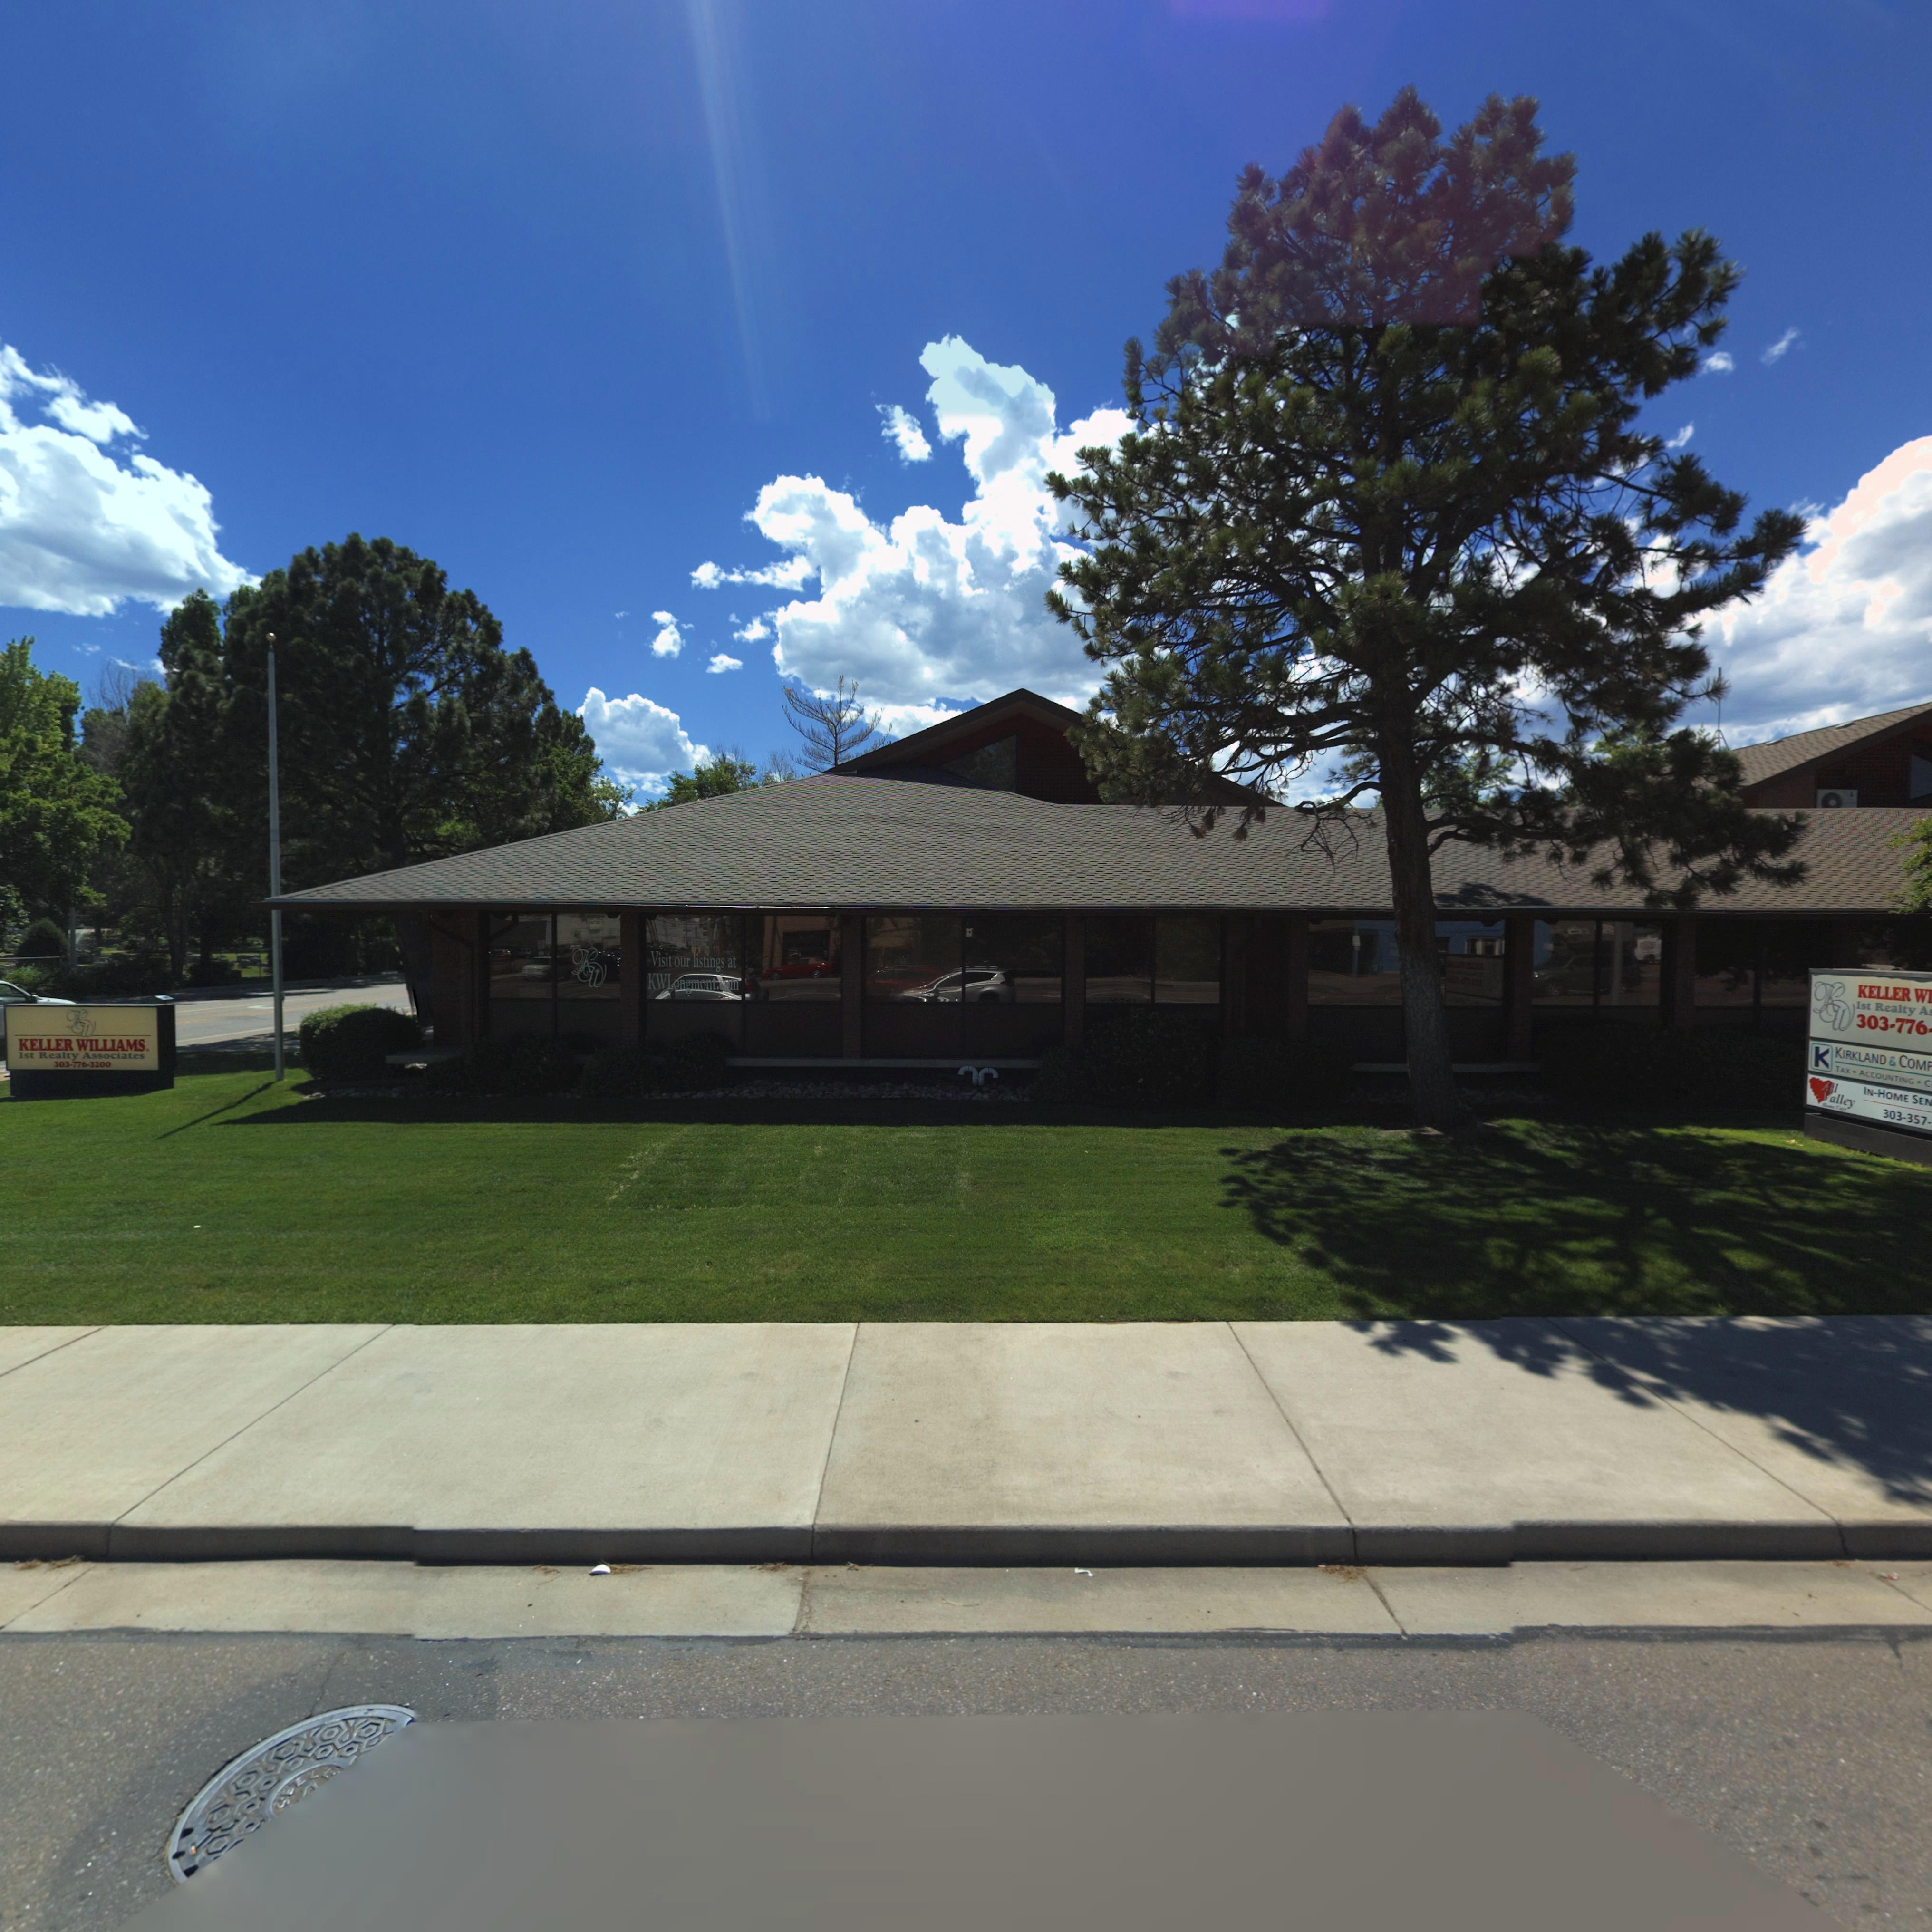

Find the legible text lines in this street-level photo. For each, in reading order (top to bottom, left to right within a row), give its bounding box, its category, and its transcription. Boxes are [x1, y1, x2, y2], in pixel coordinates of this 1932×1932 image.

[578, 948, 598, 975] BusinessName: K
[587, 962, 607, 988] BusinessName: W
[1813, 982, 1845, 1014] BusinessName: K
[1857, 984, 1929, 1003] BusinessName: KELLER W
[67, 1010, 87, 1029] BusinessName: K
[81, 1020, 96, 1037] BusinessName: W
[1831, 1003, 1856, 1033] BusinessName: W
[1855, 1000, 1928, 1017] BusinessName: 1st Realty A
[18, 1037, 147, 1052] BusinessName: KELLER WILLIAMS
[18, 1051, 145, 1061] BusinessName: 1st Realty Associates
[1814, 1045, 1829, 1069] BusinessName: K
[1835, 1045, 1927, 1072] BusinessName: KIRKLAND & COM
[1819, 1081, 1839, 1093] BusinessName: All
[1823, 1092, 1857, 1110] BusinessName: Valley
[1863, 1085, 1932, 1106] BusinessName: IN-HOME SEN